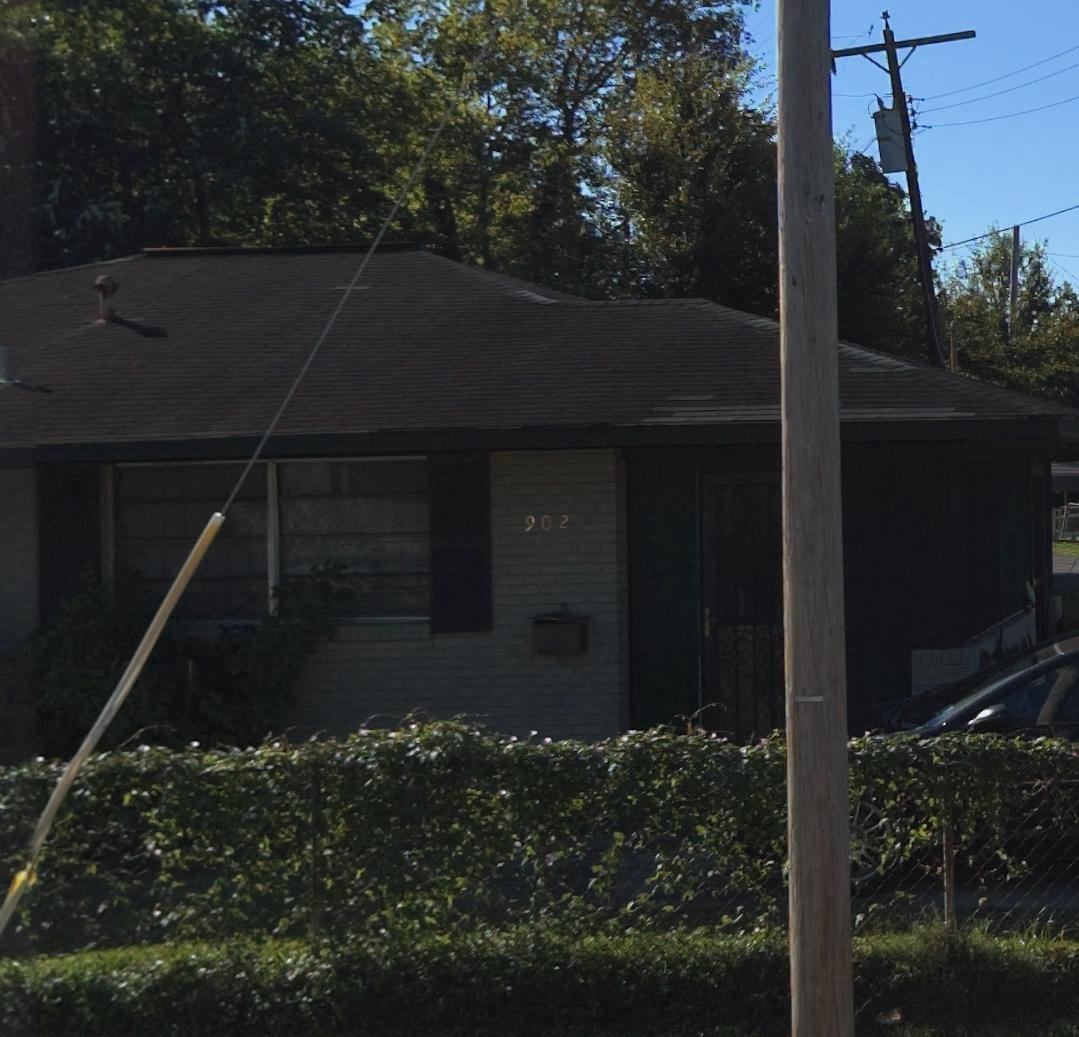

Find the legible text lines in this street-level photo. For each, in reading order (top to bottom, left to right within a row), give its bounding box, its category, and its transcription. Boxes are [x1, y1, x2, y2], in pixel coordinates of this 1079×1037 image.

[519, 512, 572, 536] StreetNumber: 902